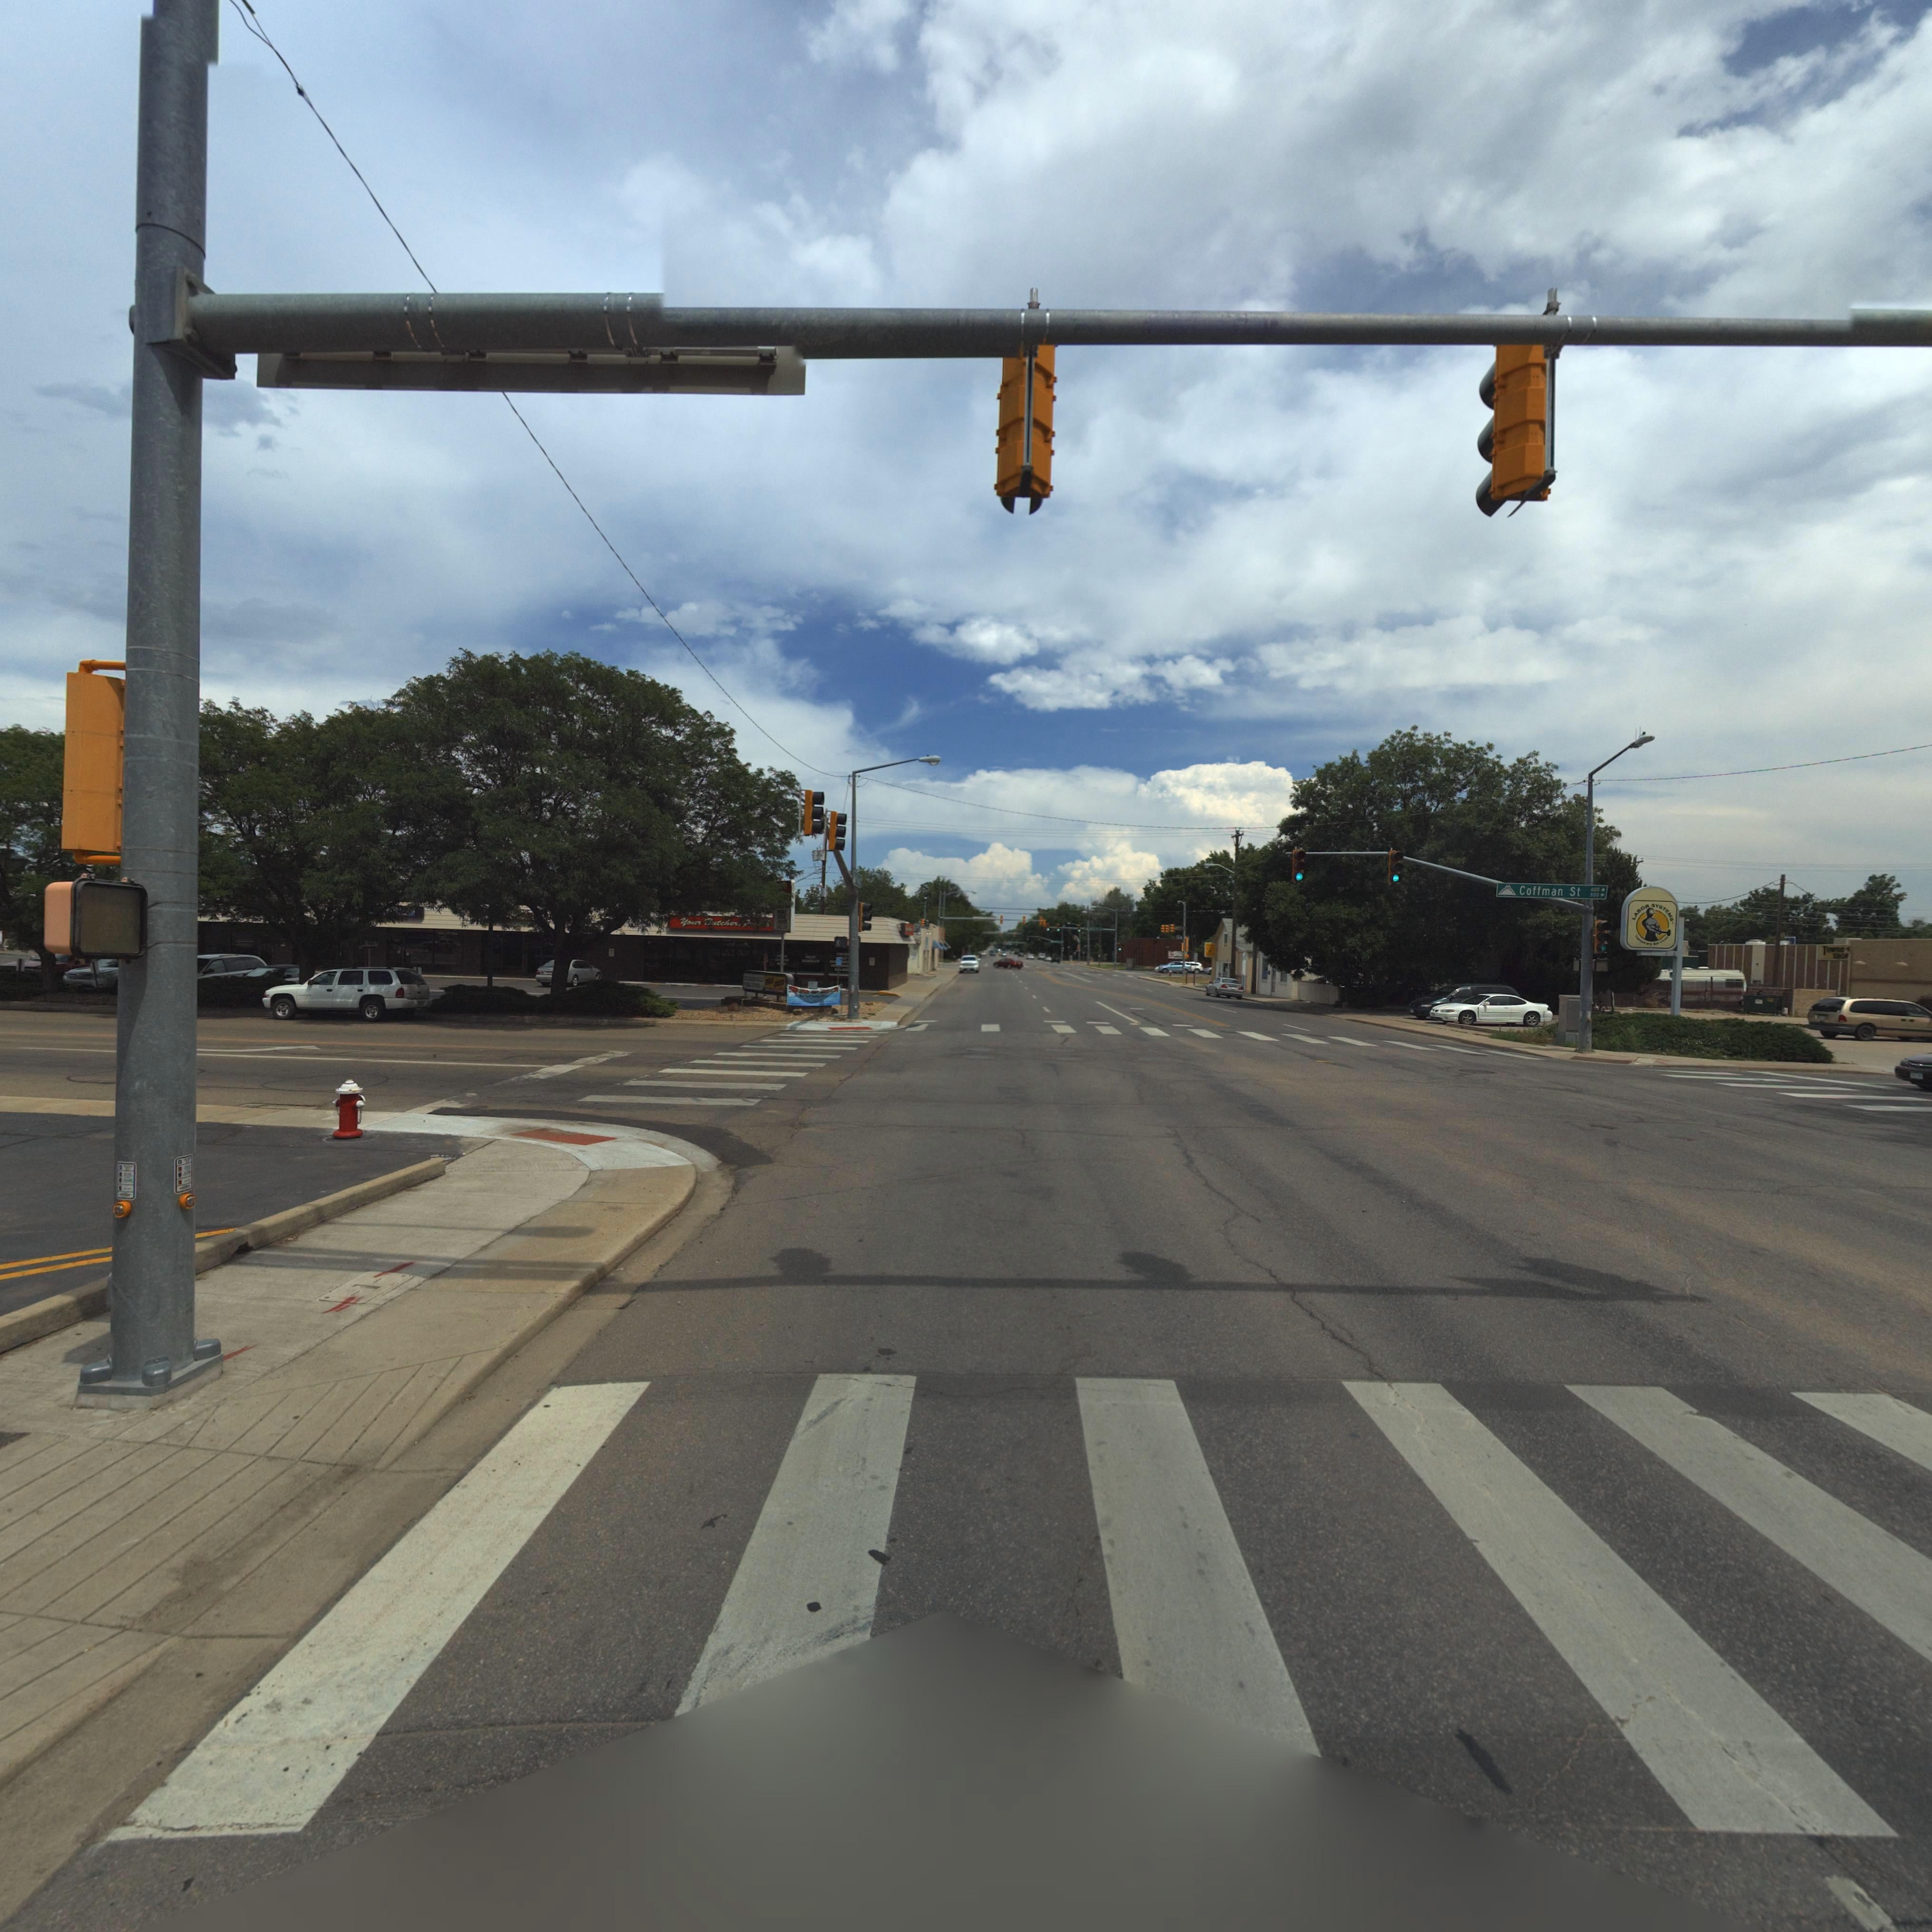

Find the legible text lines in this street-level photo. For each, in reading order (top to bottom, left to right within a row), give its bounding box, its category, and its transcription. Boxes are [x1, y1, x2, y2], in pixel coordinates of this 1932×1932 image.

[1518, 885, 1581, 897] StreetName: Coffman St
[1590, 887, 1600, 891] StreetNumberRange: 600
[1589, 892, 1604, 897] StreetNumberRange: *00->
[1631, 903, 1674, 921] BusinessName: LABOR SYSTEMS
[679, 916, 770, 927] BusinessName: Your Butcher ****
[764, 976, 773, 985] BusinessName: DELI
[773, 978, 784, 987] BusinessName: C*O*O